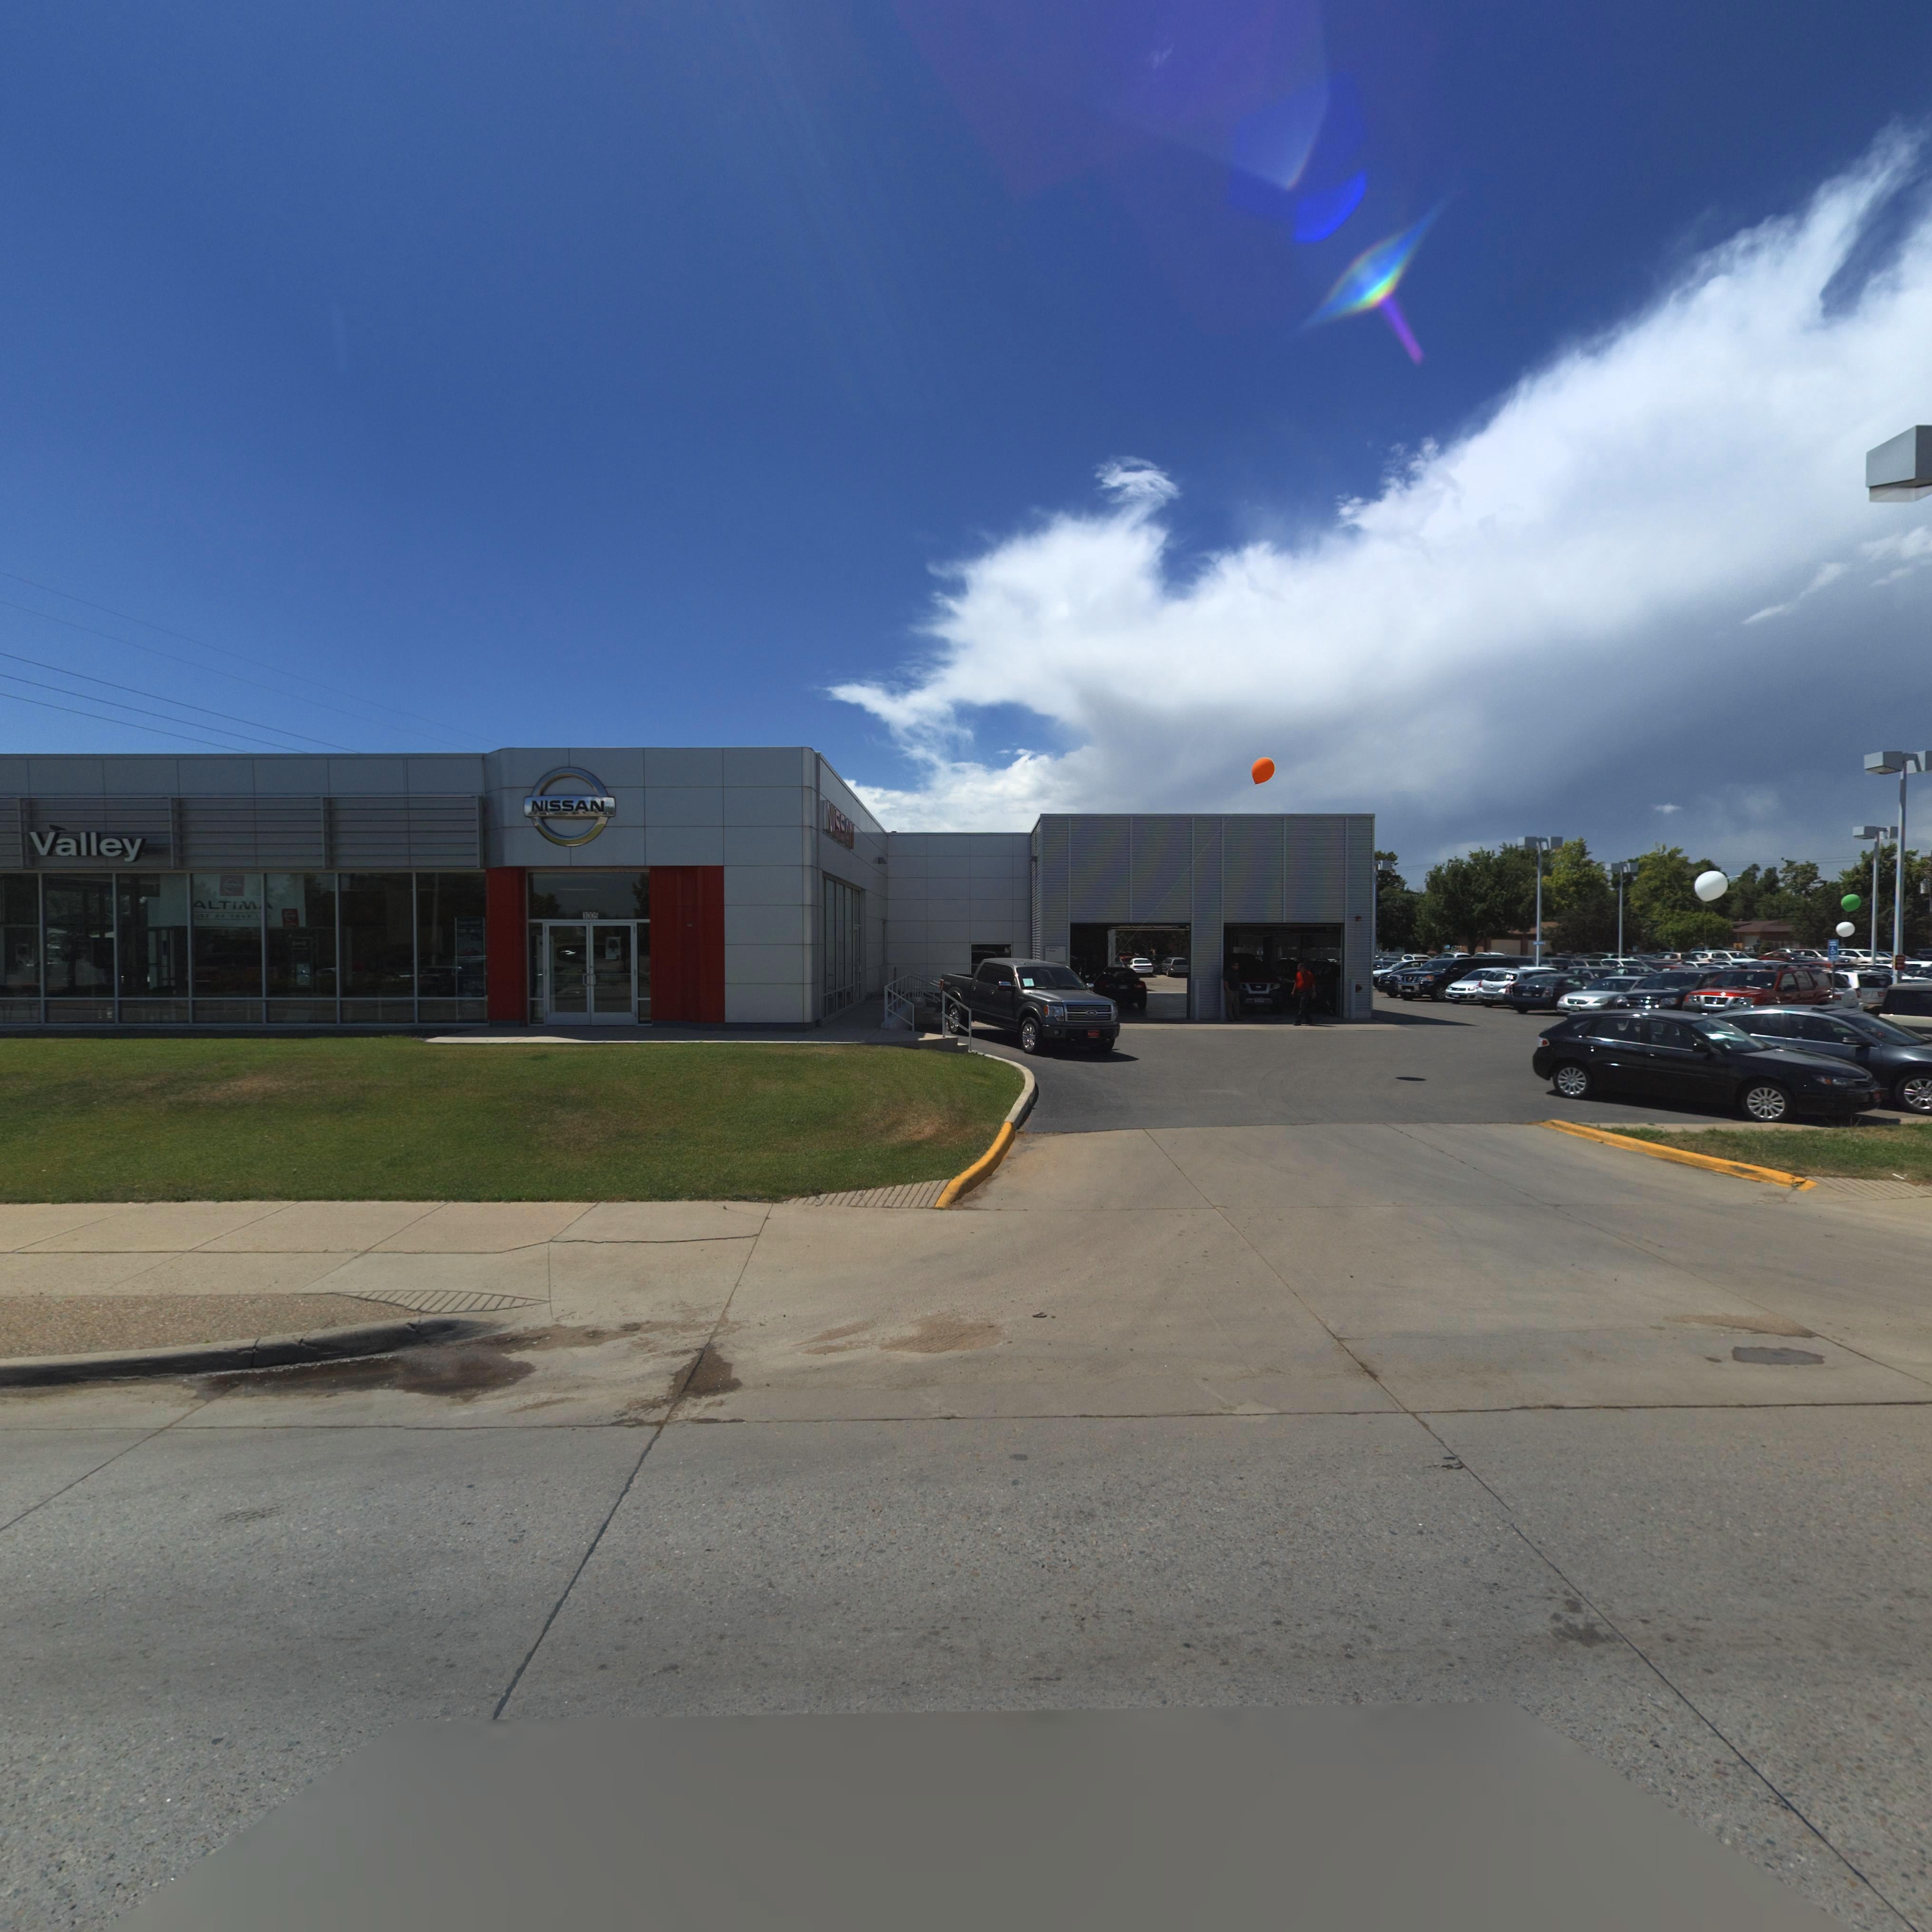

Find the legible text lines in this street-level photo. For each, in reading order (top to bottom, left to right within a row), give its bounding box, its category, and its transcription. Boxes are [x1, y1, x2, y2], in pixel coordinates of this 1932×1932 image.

[531, 800, 605, 812] BusinessName: NISSAN
[826, 798, 855, 850] BusinessName: NISSAN
[28, 831, 144, 862] BusinessName: Valley
[583, 911, 599, 919] StreetNumber: 1005